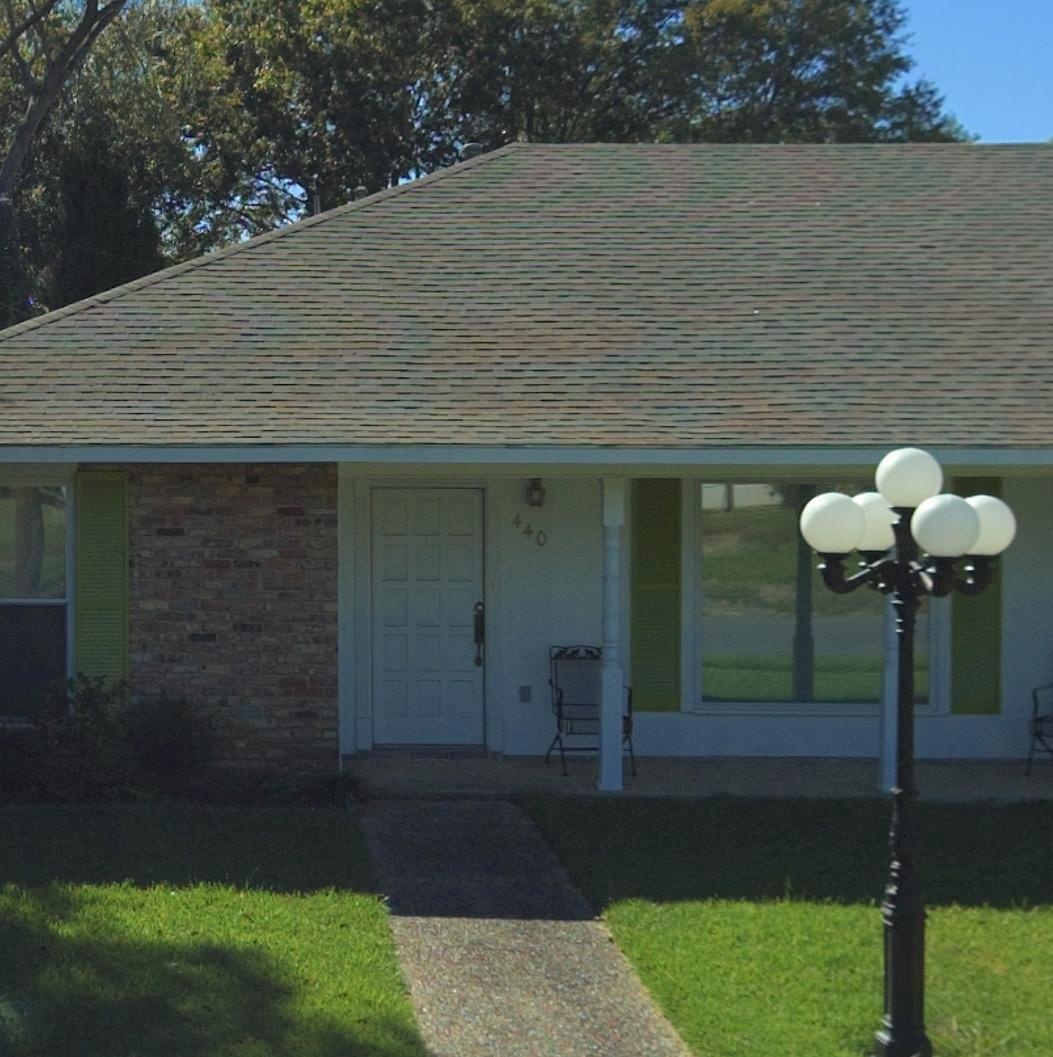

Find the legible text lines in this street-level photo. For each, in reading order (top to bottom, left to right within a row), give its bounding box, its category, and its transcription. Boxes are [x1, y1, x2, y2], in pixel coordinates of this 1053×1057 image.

[511, 512, 548, 549] StreetNumber: 440